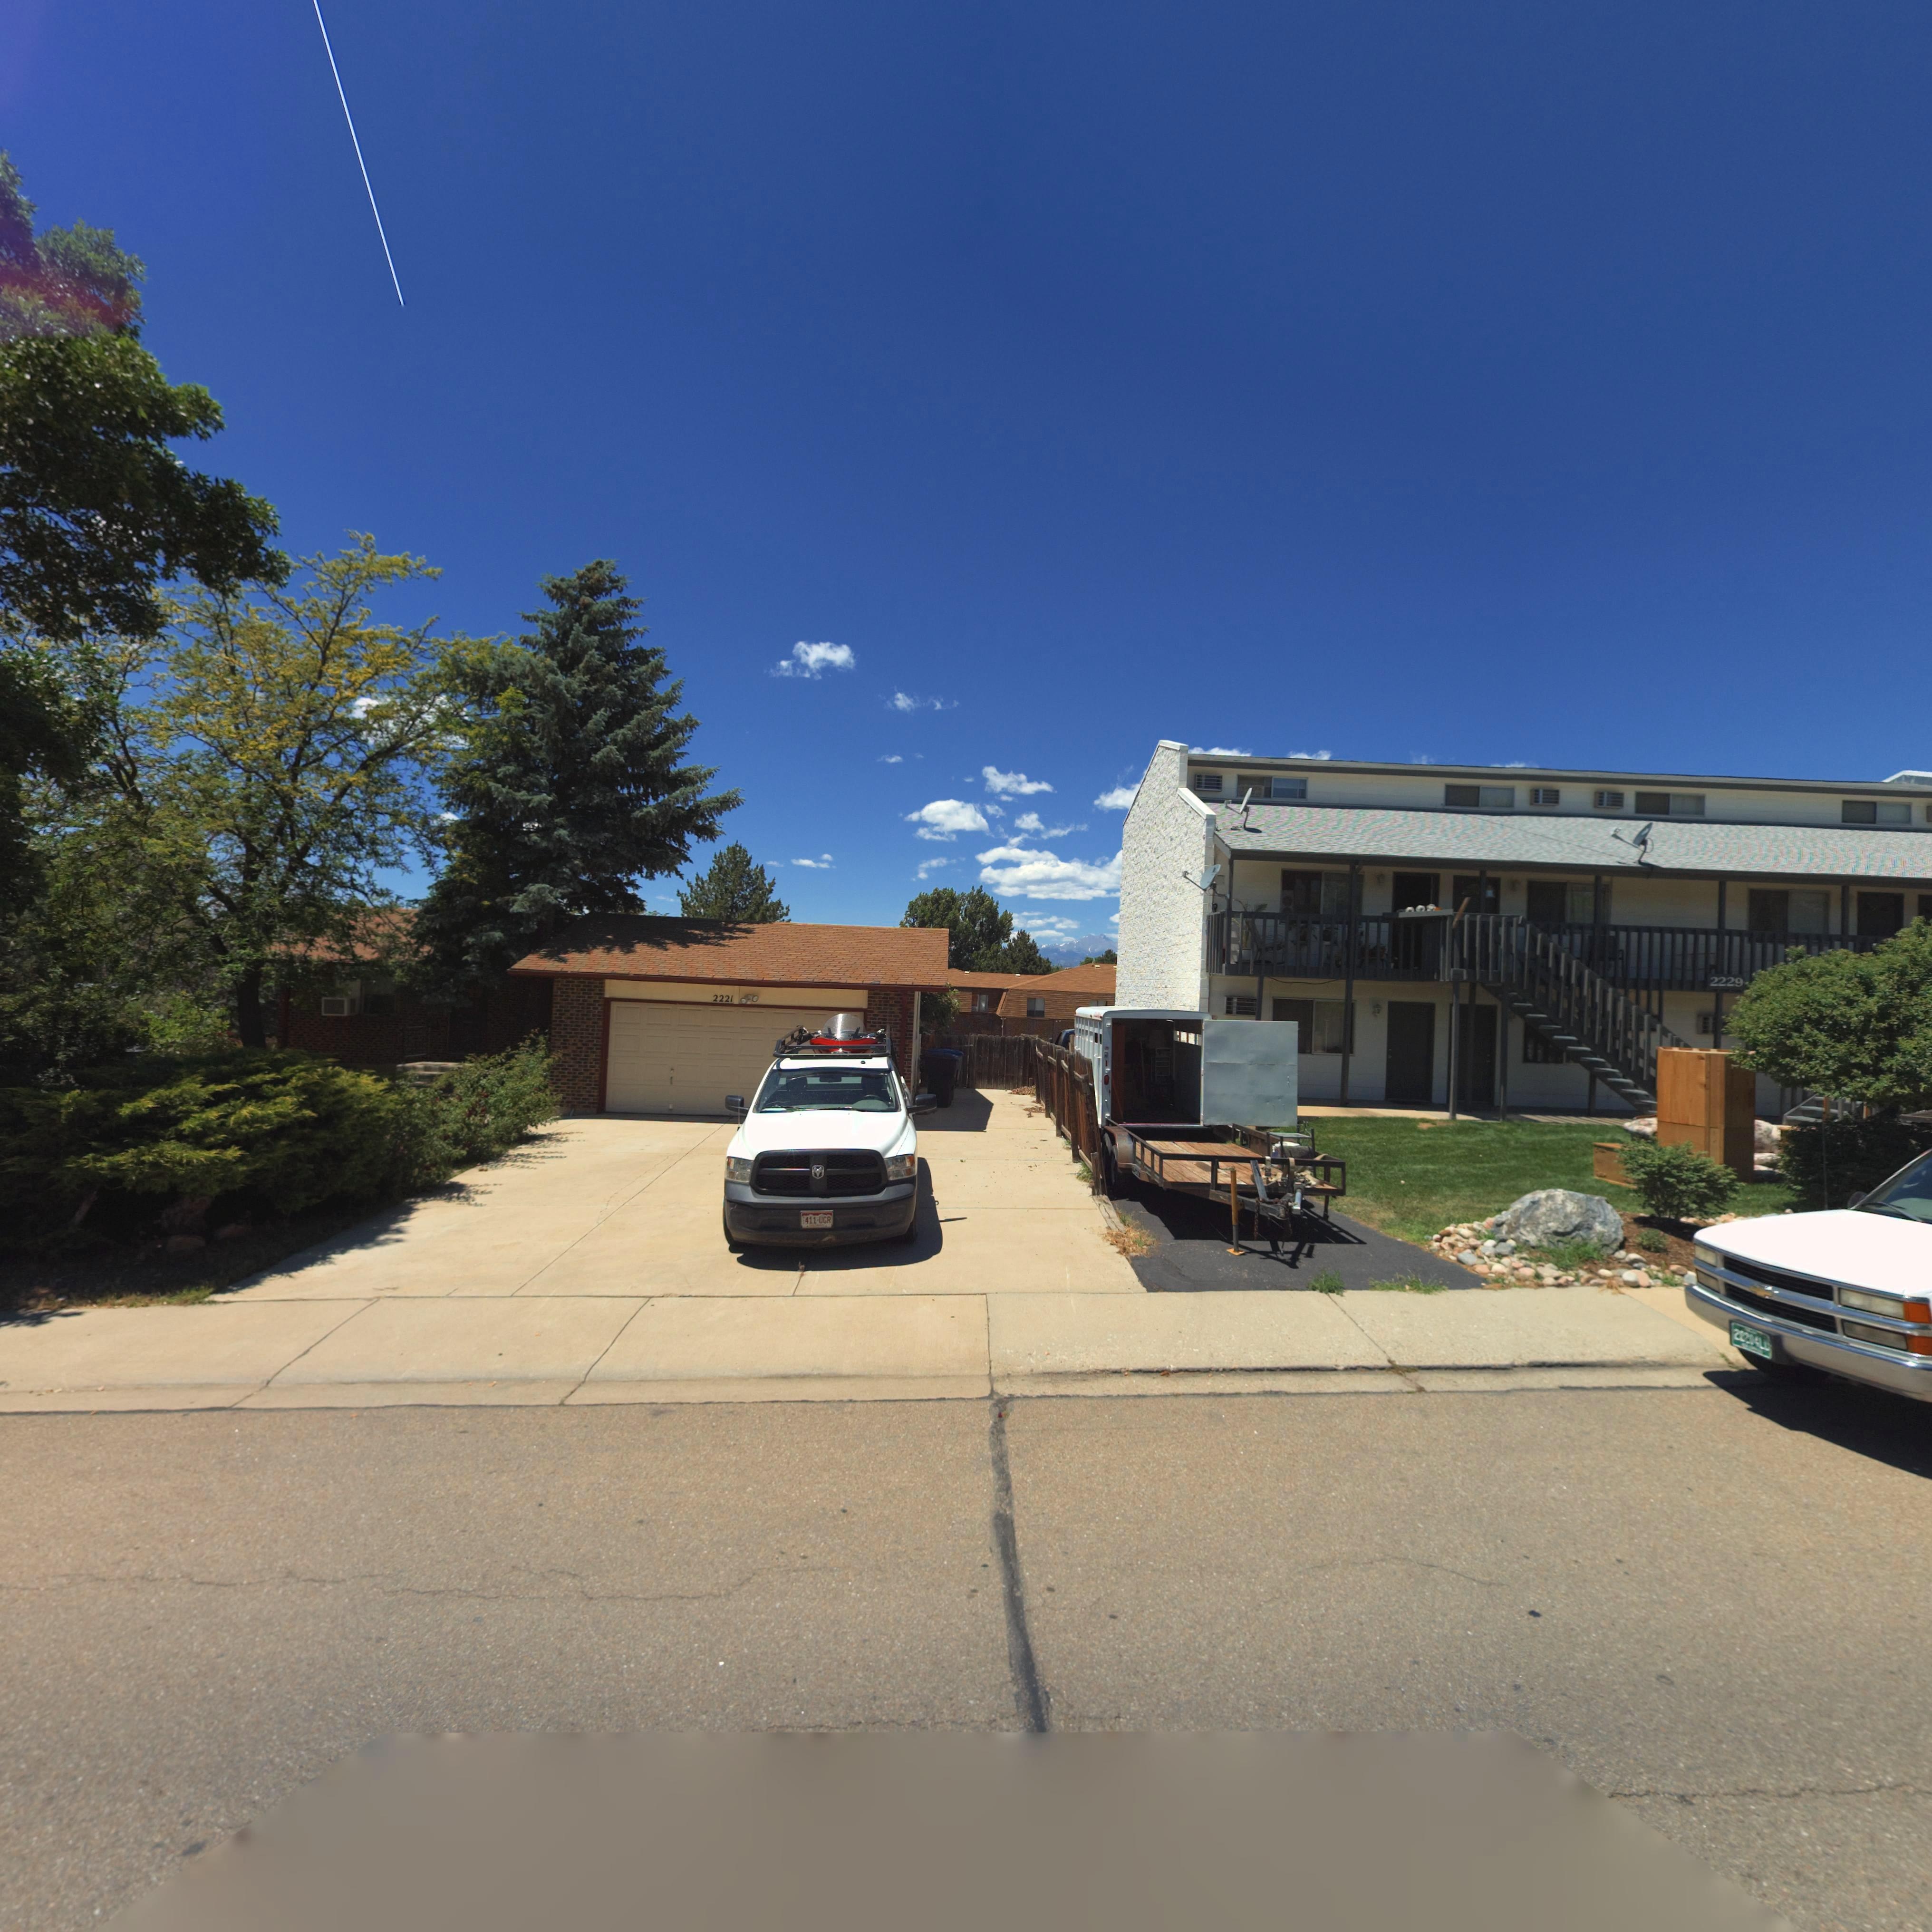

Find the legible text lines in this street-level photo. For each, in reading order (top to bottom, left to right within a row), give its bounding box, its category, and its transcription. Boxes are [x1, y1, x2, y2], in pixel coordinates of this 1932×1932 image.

[1710, 976, 1743, 987] StreetNumber: 2229
[713, 994, 734, 1003] StreetNumber: 2221